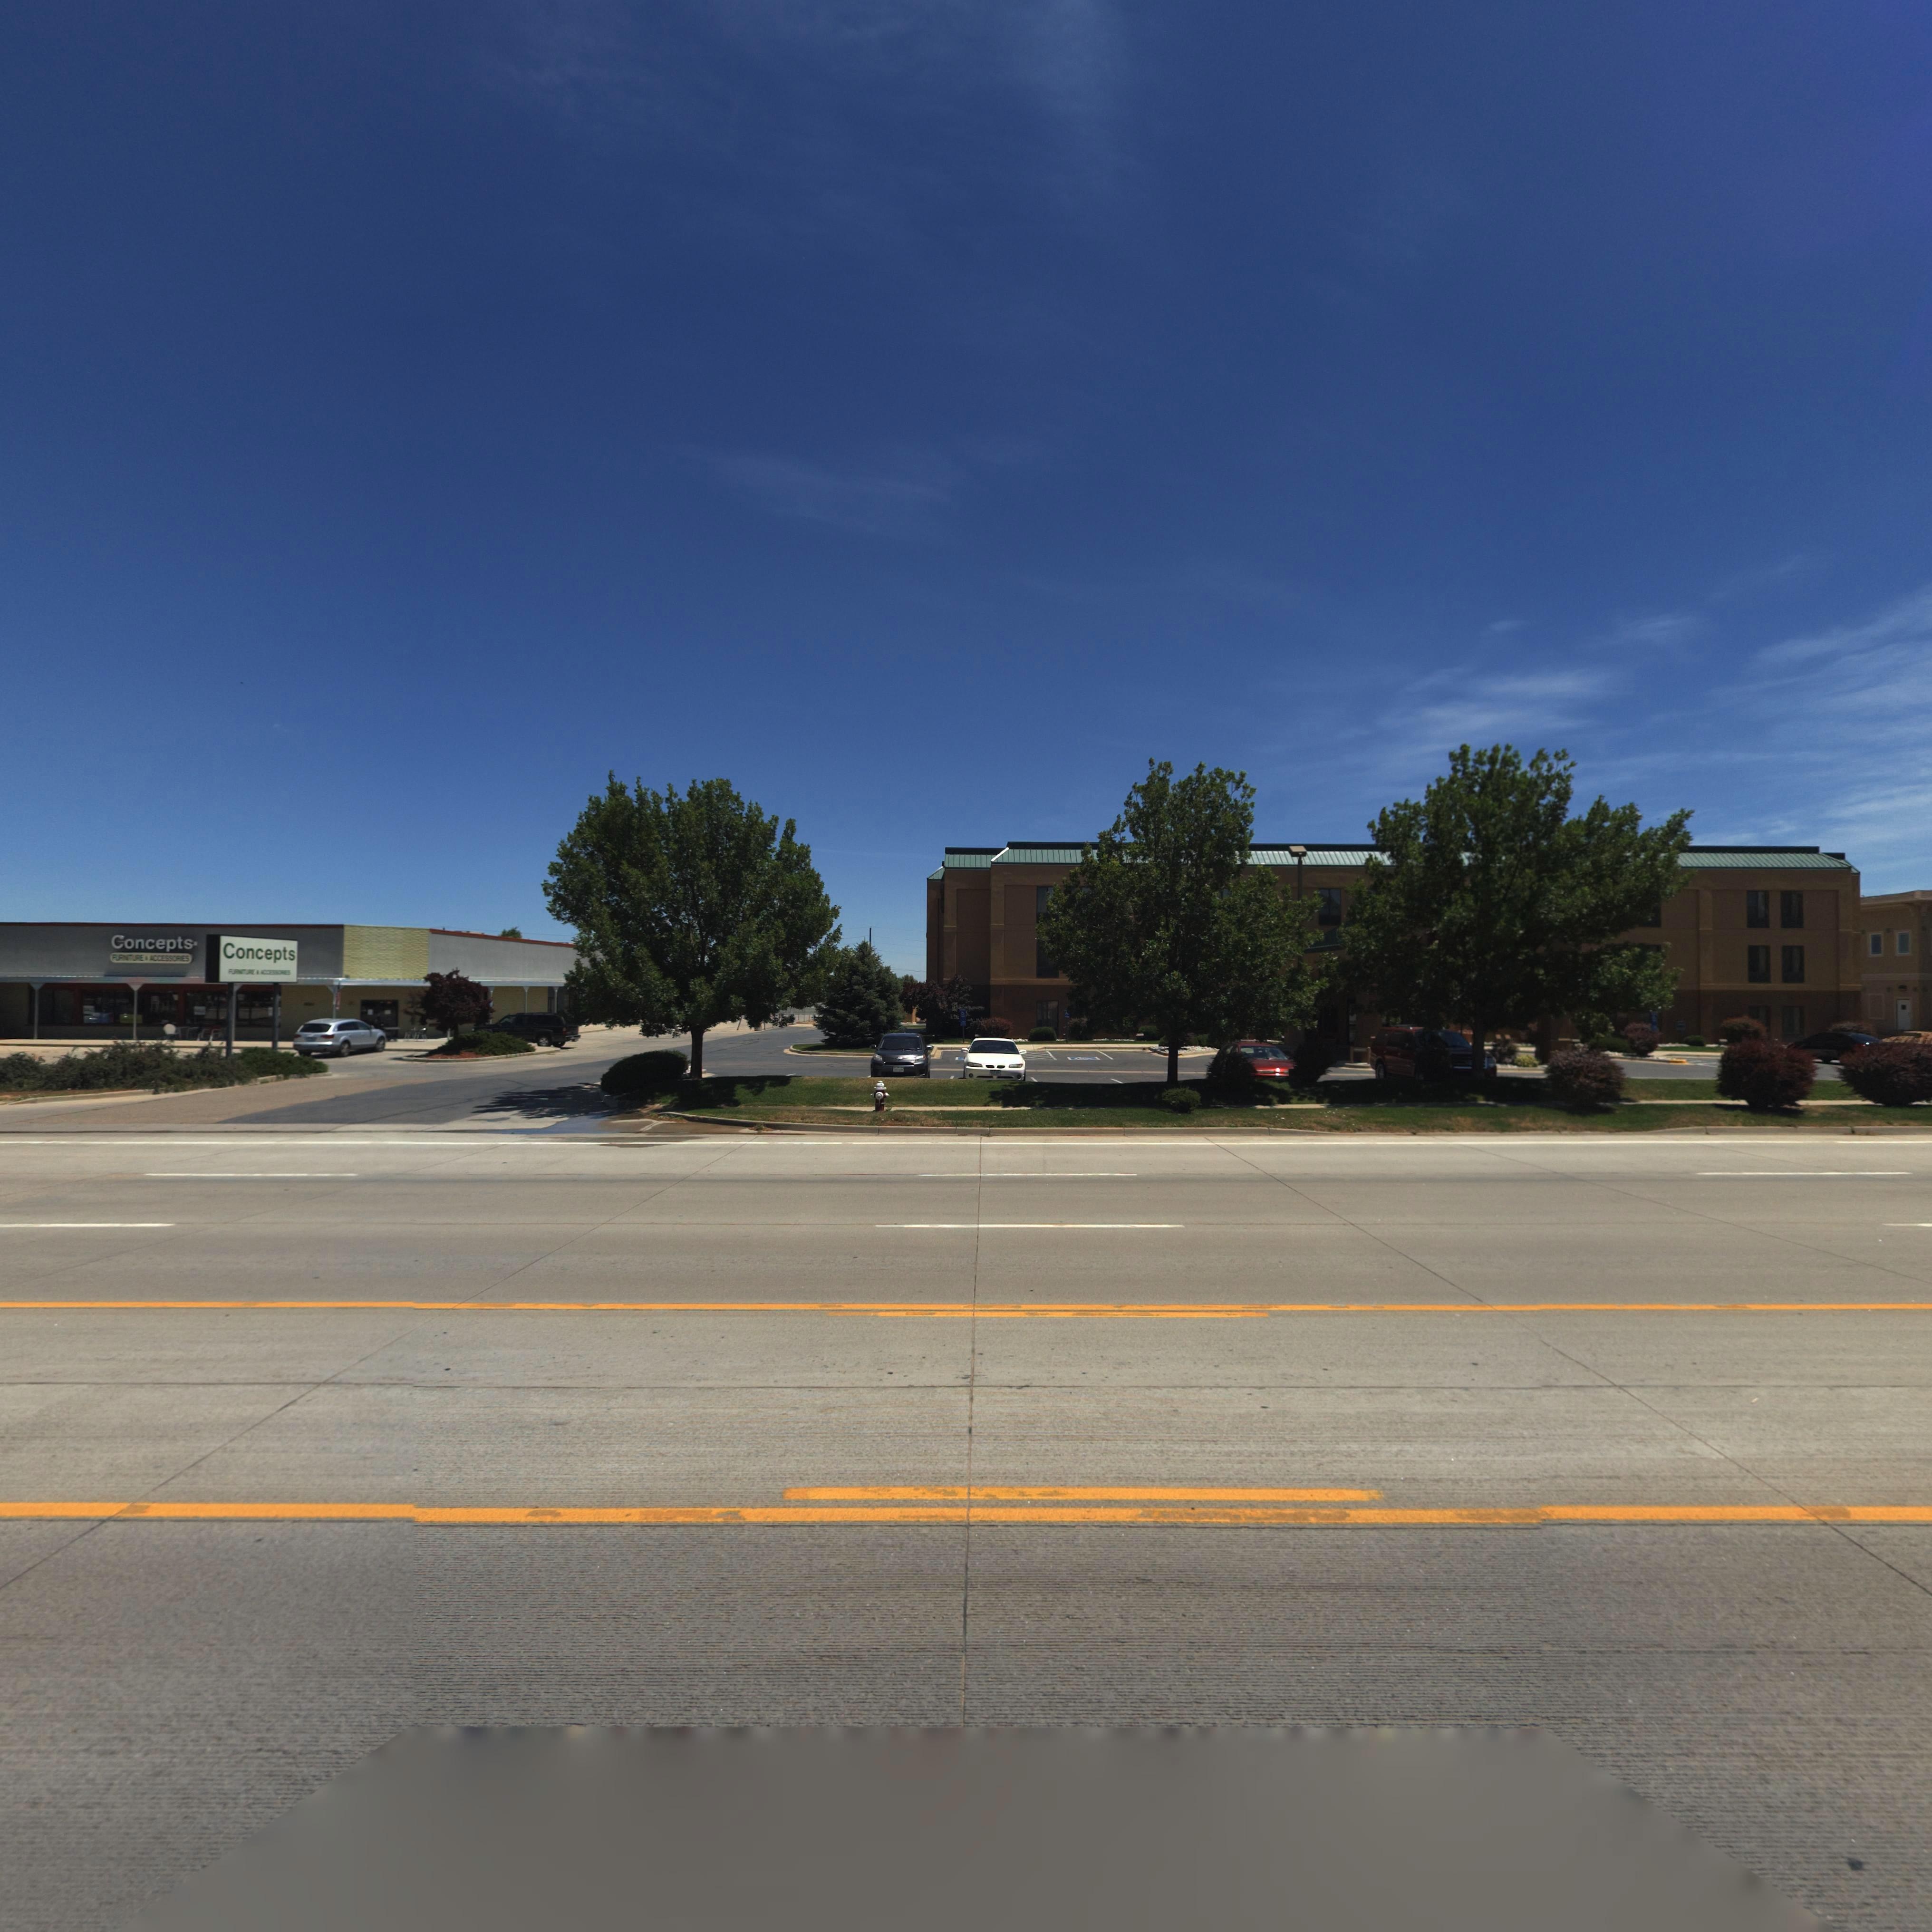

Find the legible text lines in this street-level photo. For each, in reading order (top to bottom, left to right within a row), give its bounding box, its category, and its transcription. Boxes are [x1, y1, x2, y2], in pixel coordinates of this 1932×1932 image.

[111, 953, 190, 963] BusinessName: FURNITURE * ACCESSORIES
[110, 933, 194, 953] None: Concepts
[222, 940, 296, 965] BusinessName: Concepts
[227, 967, 291, 976] BusinessName: FURNITURE * ACCESSORIES